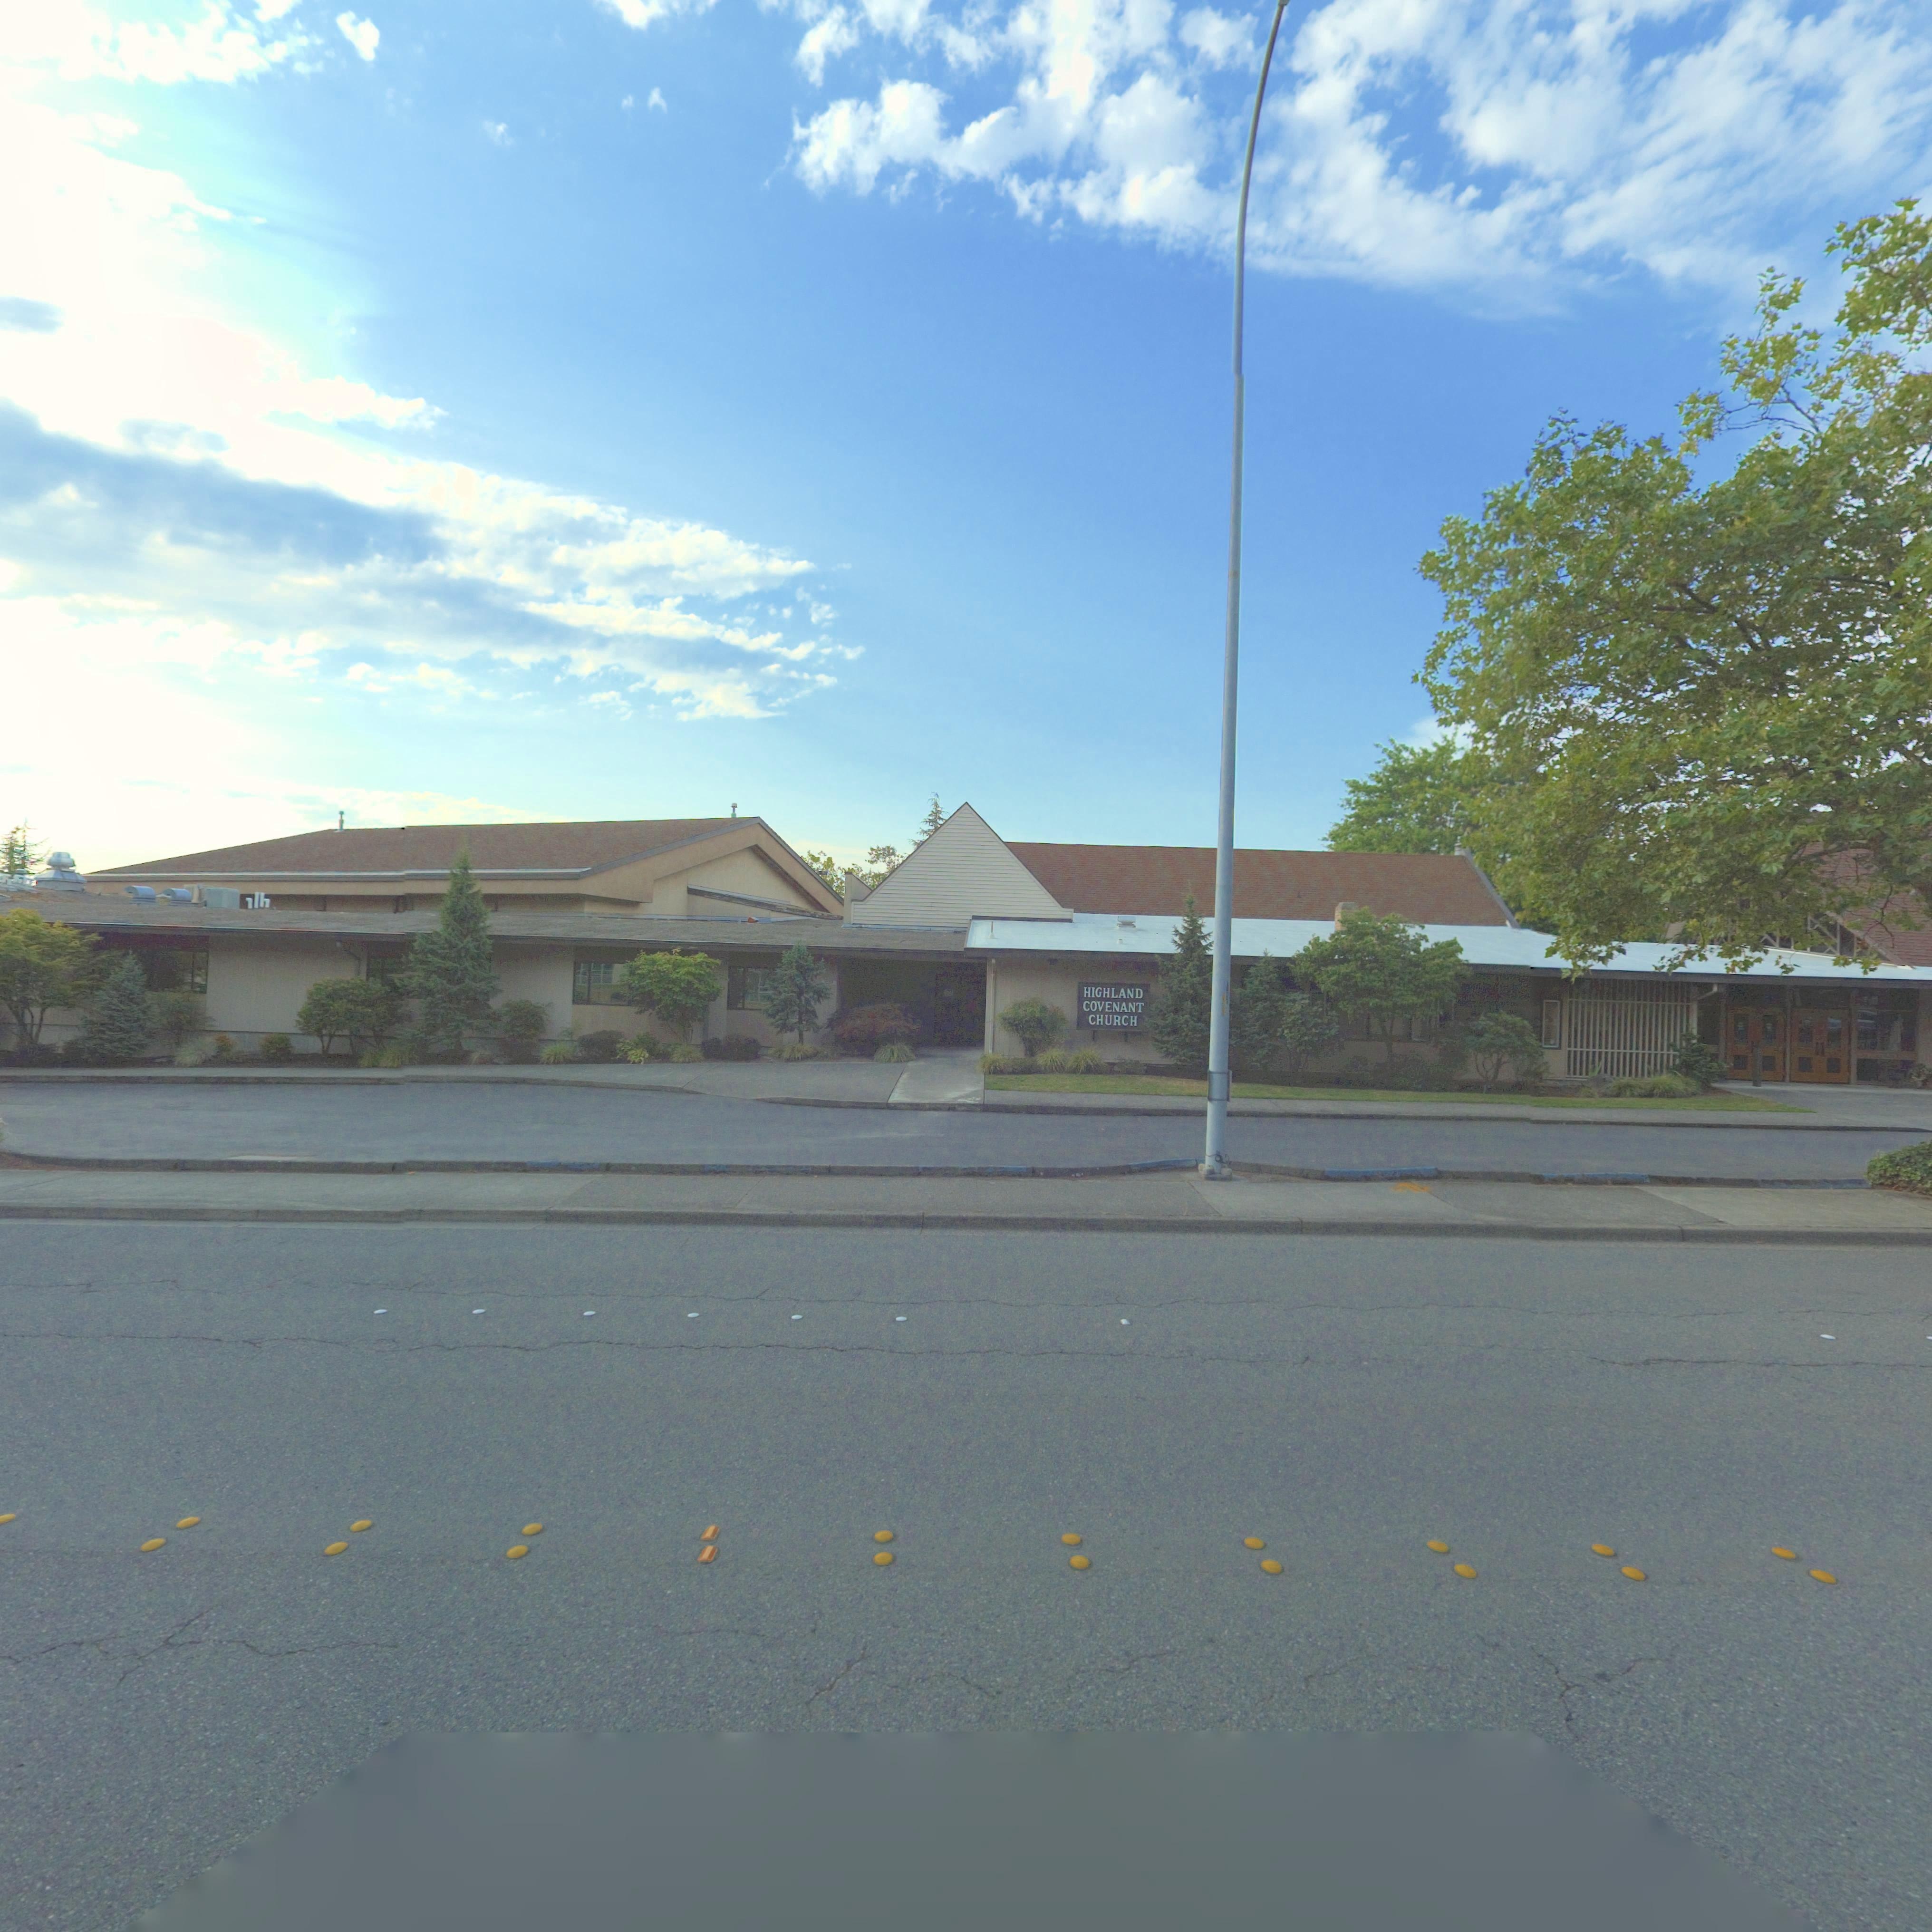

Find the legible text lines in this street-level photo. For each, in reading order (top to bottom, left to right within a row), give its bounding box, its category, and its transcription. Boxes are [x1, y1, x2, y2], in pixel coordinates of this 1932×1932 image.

[1082, 985, 1144, 999] BusinessName: HIGHLAND
[1082, 1000, 1145, 1014] BusinessName: COVENANT
[1087, 1014, 1138, 1027] BusinessName: CHURCH